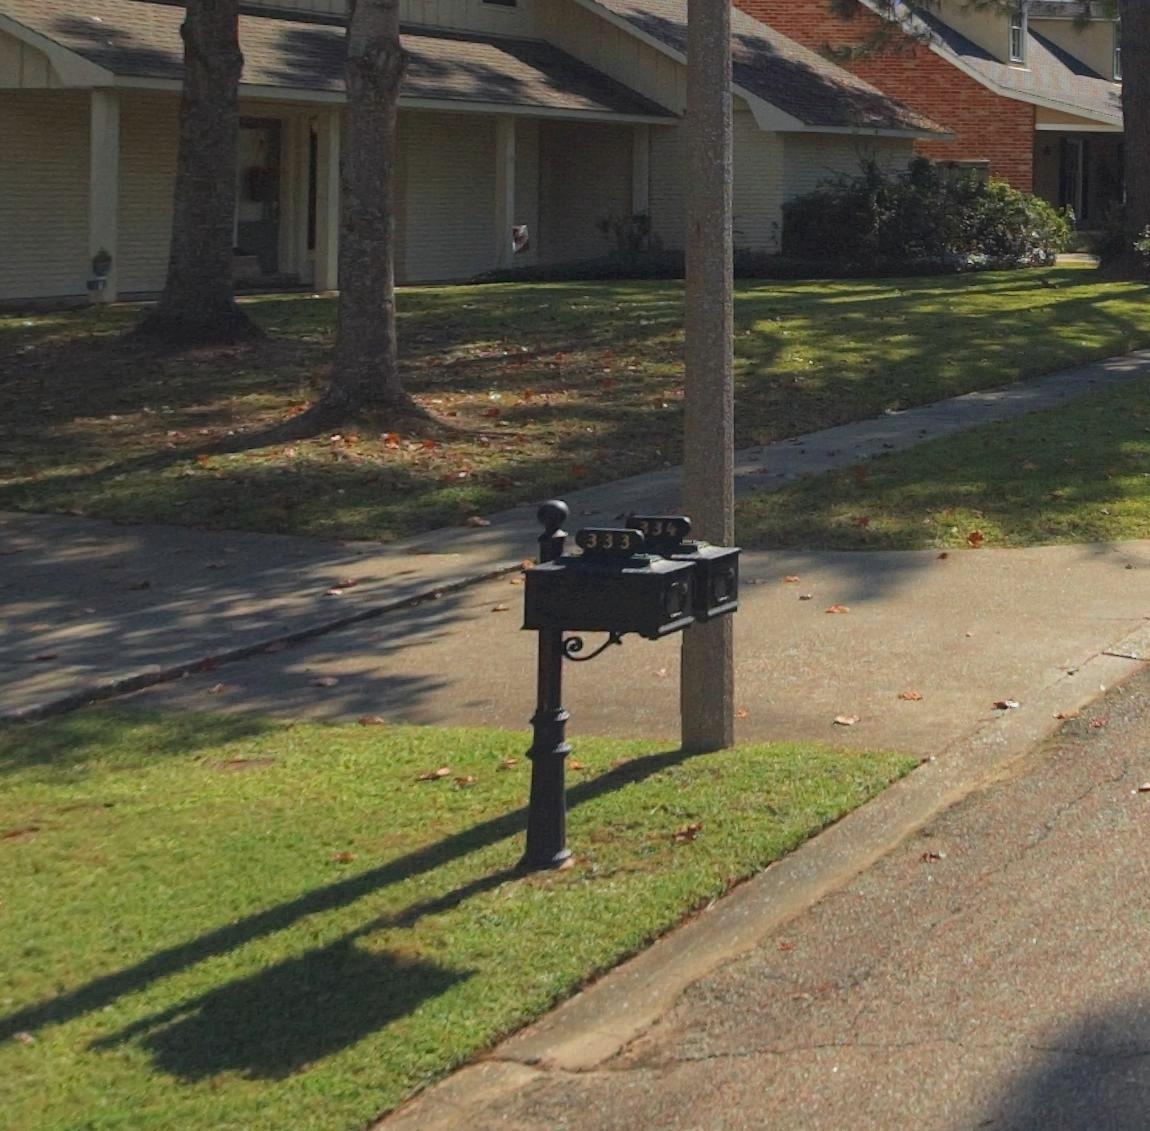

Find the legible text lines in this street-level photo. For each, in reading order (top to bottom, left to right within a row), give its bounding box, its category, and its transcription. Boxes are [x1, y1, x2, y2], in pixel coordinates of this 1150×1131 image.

[637, 521, 677, 537] StreetNumber: 334
[586, 532, 631, 550] StreetNumber: 333